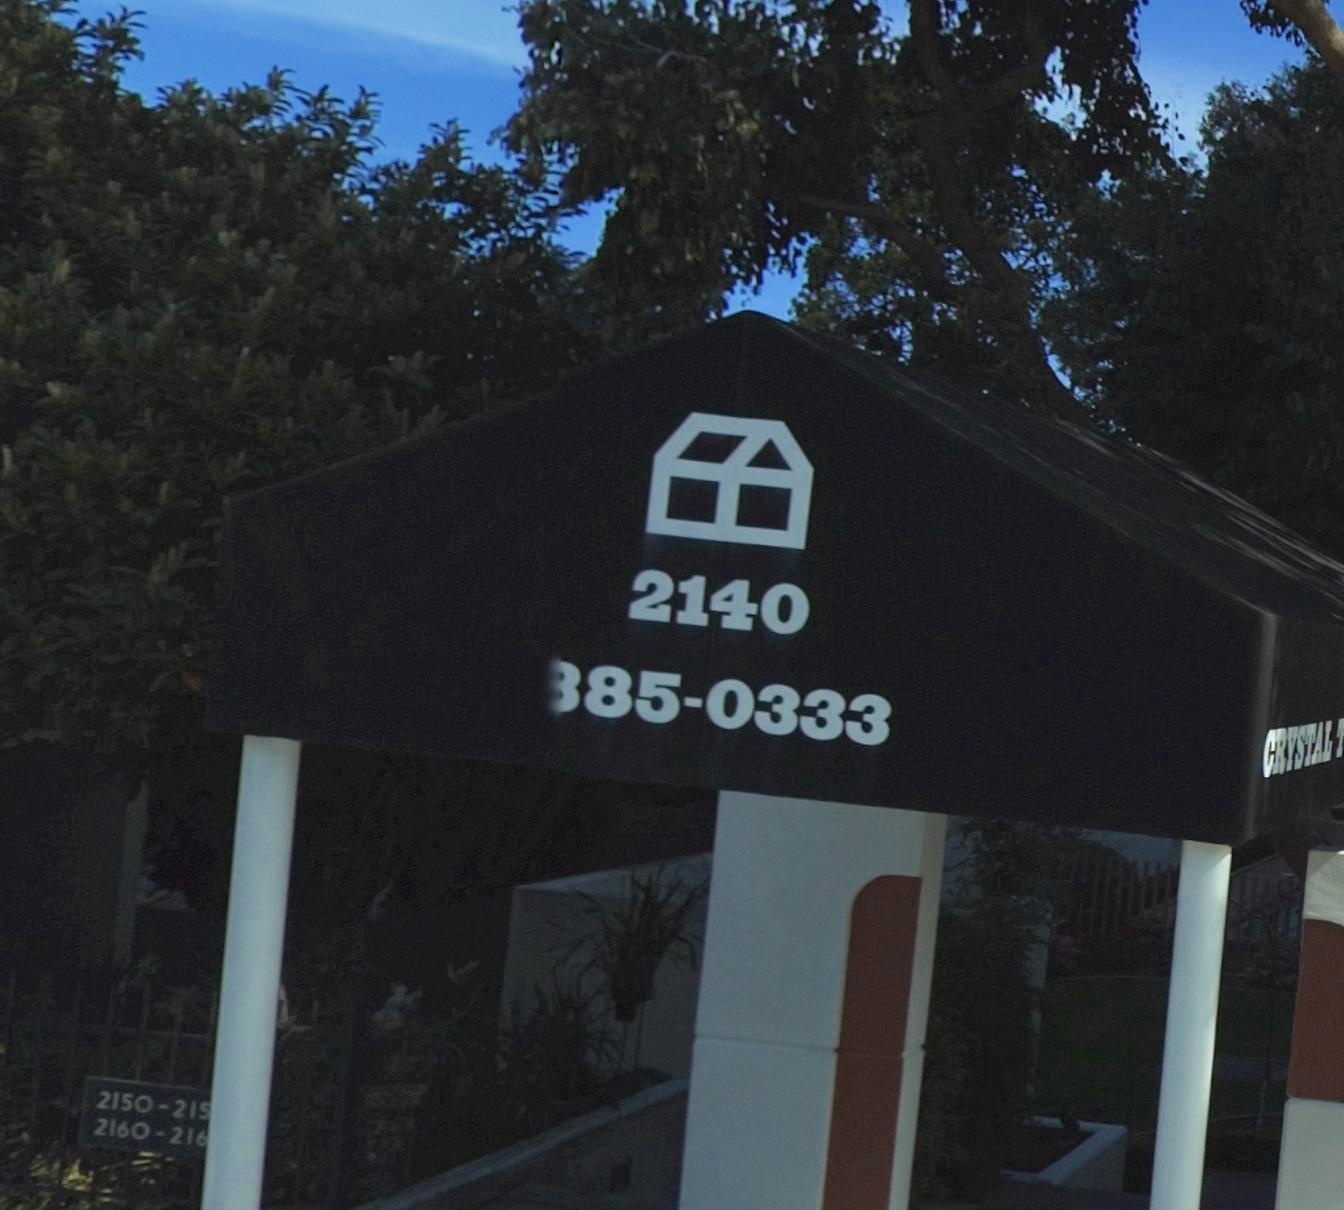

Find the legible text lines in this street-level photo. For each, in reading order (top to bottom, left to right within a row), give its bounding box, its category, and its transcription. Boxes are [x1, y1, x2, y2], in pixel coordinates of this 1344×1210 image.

[624, 566, 813, 640] StreetNumber: 2140
[579, 663, 896, 750] None: *85-0333
[1260, 717, 1335, 781] BusinessName: CRYSTAL
[90, 1115, 209, 1149] None: 2160-216
[94, 1089, 212, 1123] None: 2150-215